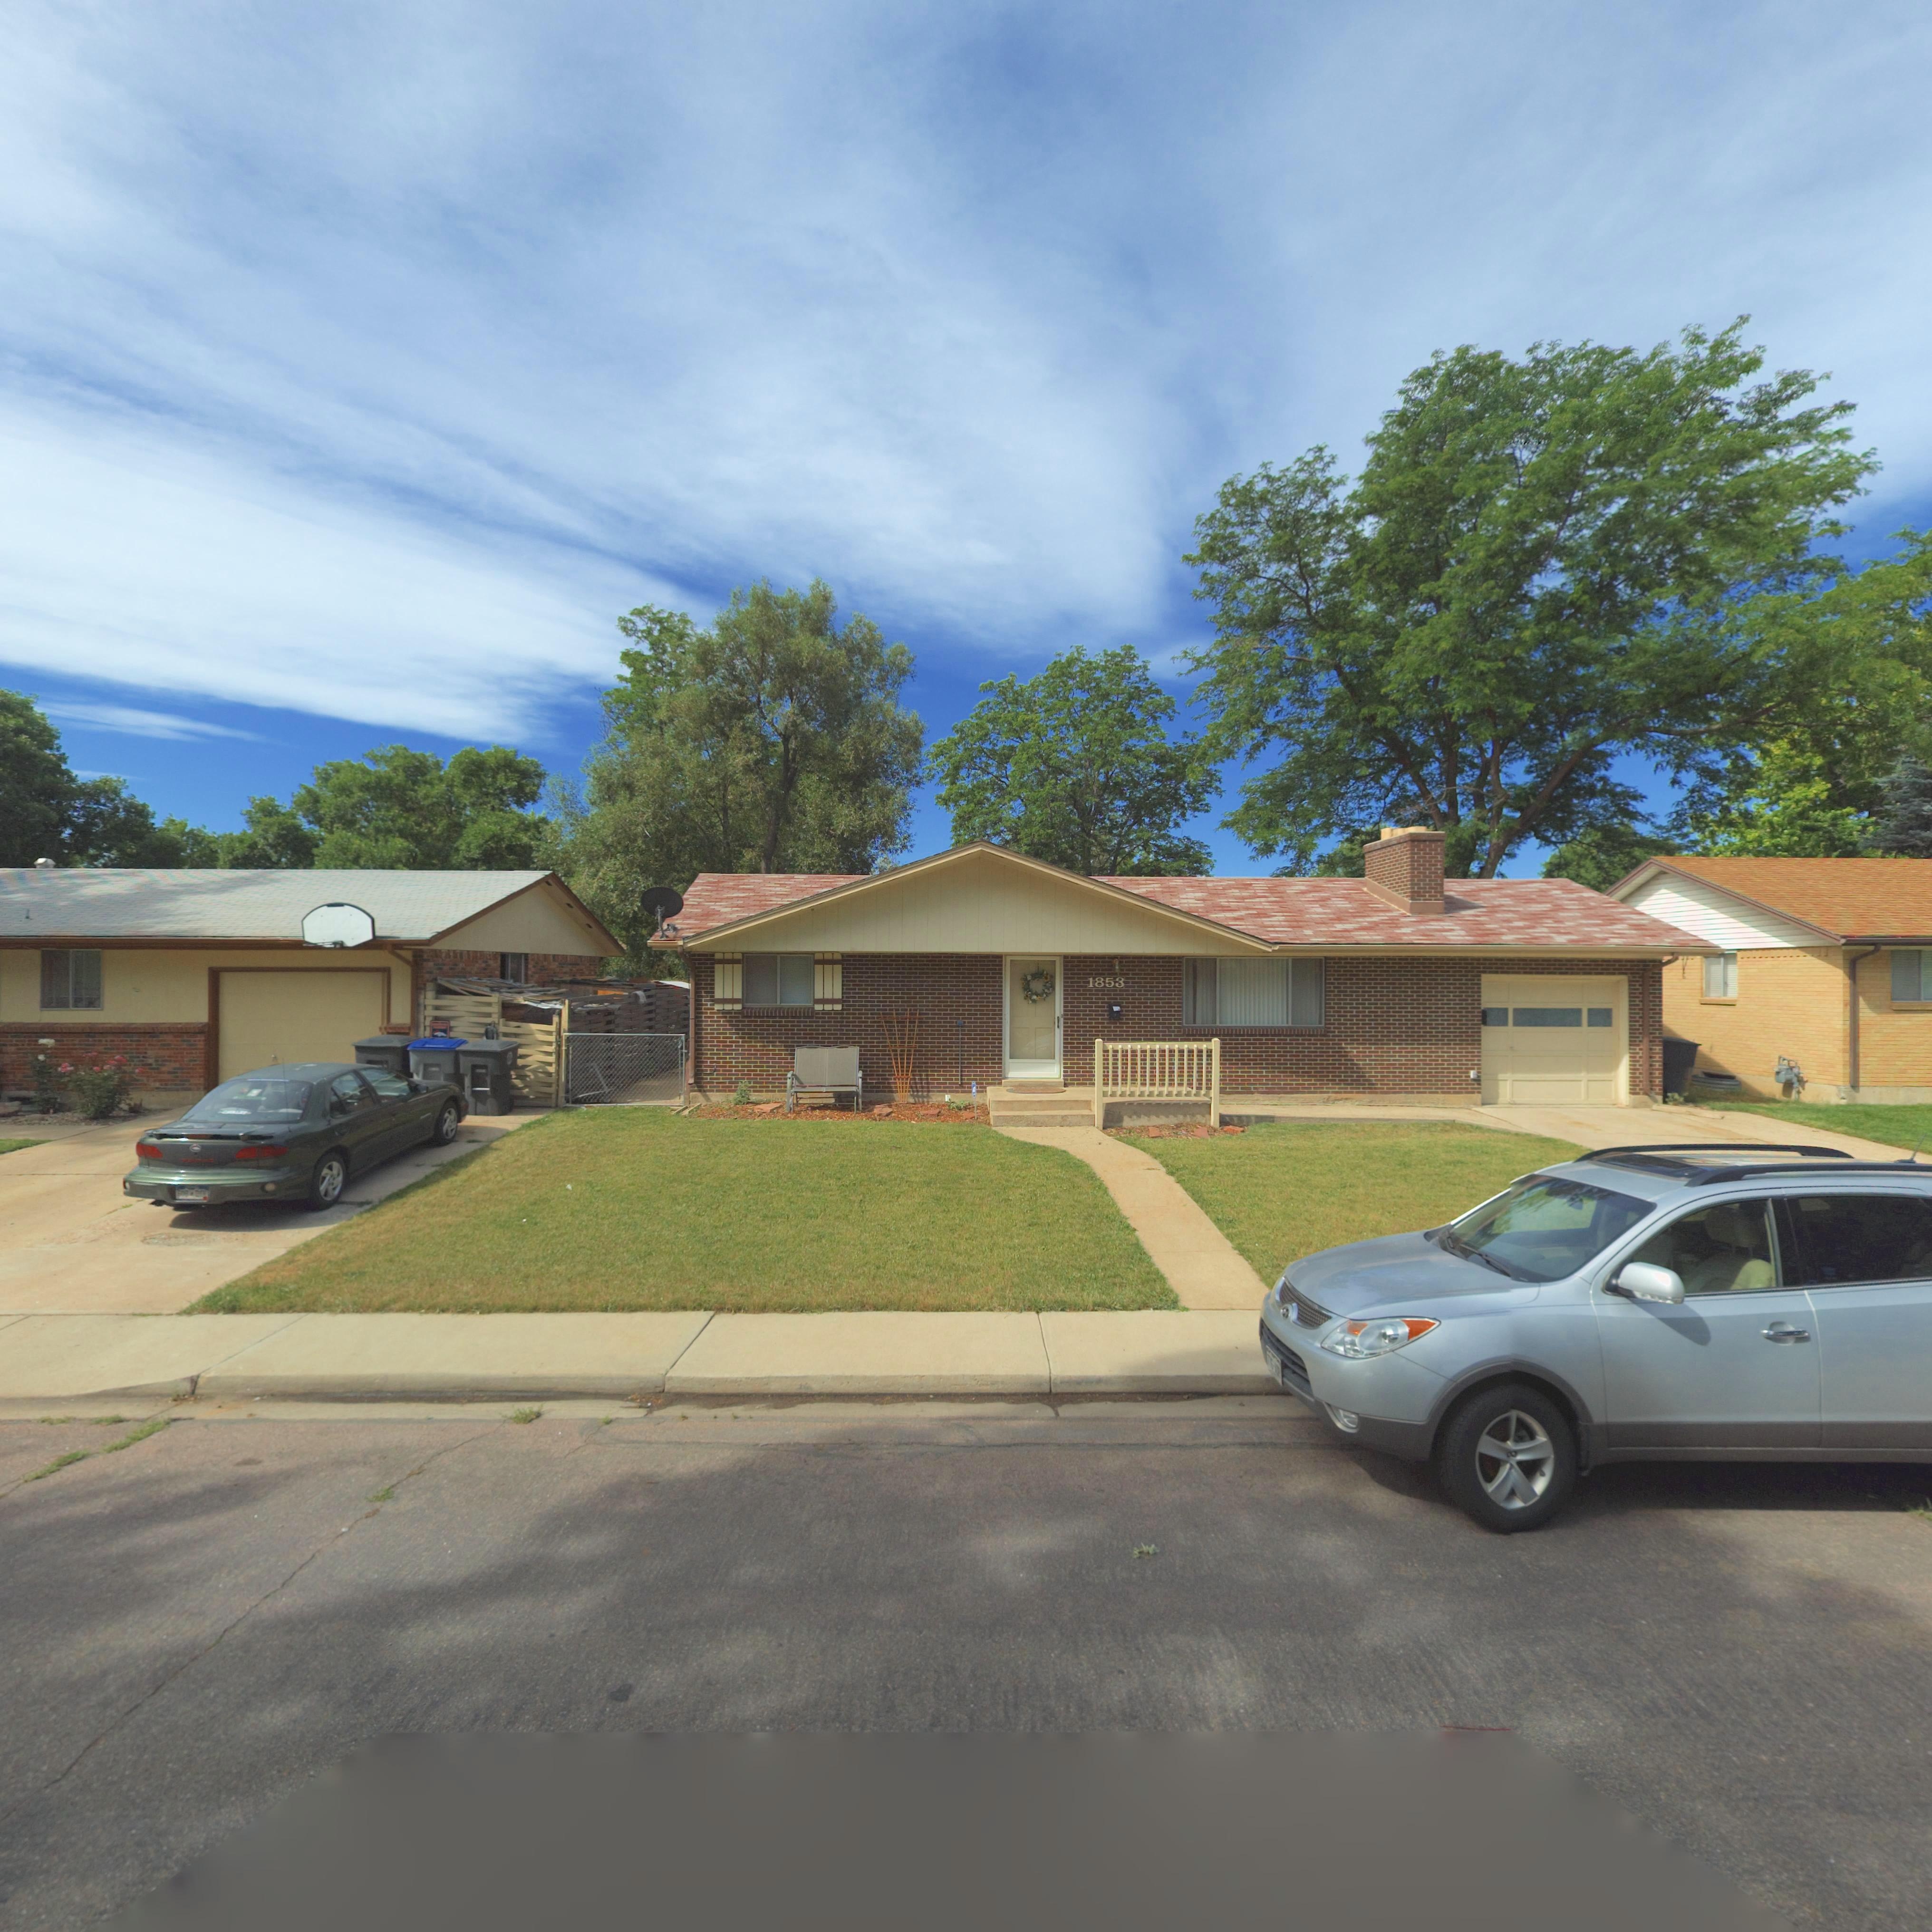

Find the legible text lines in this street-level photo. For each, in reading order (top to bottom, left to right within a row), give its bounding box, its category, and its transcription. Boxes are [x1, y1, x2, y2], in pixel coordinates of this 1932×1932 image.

[1087, 976, 1125, 988] StreetNumber: 1853